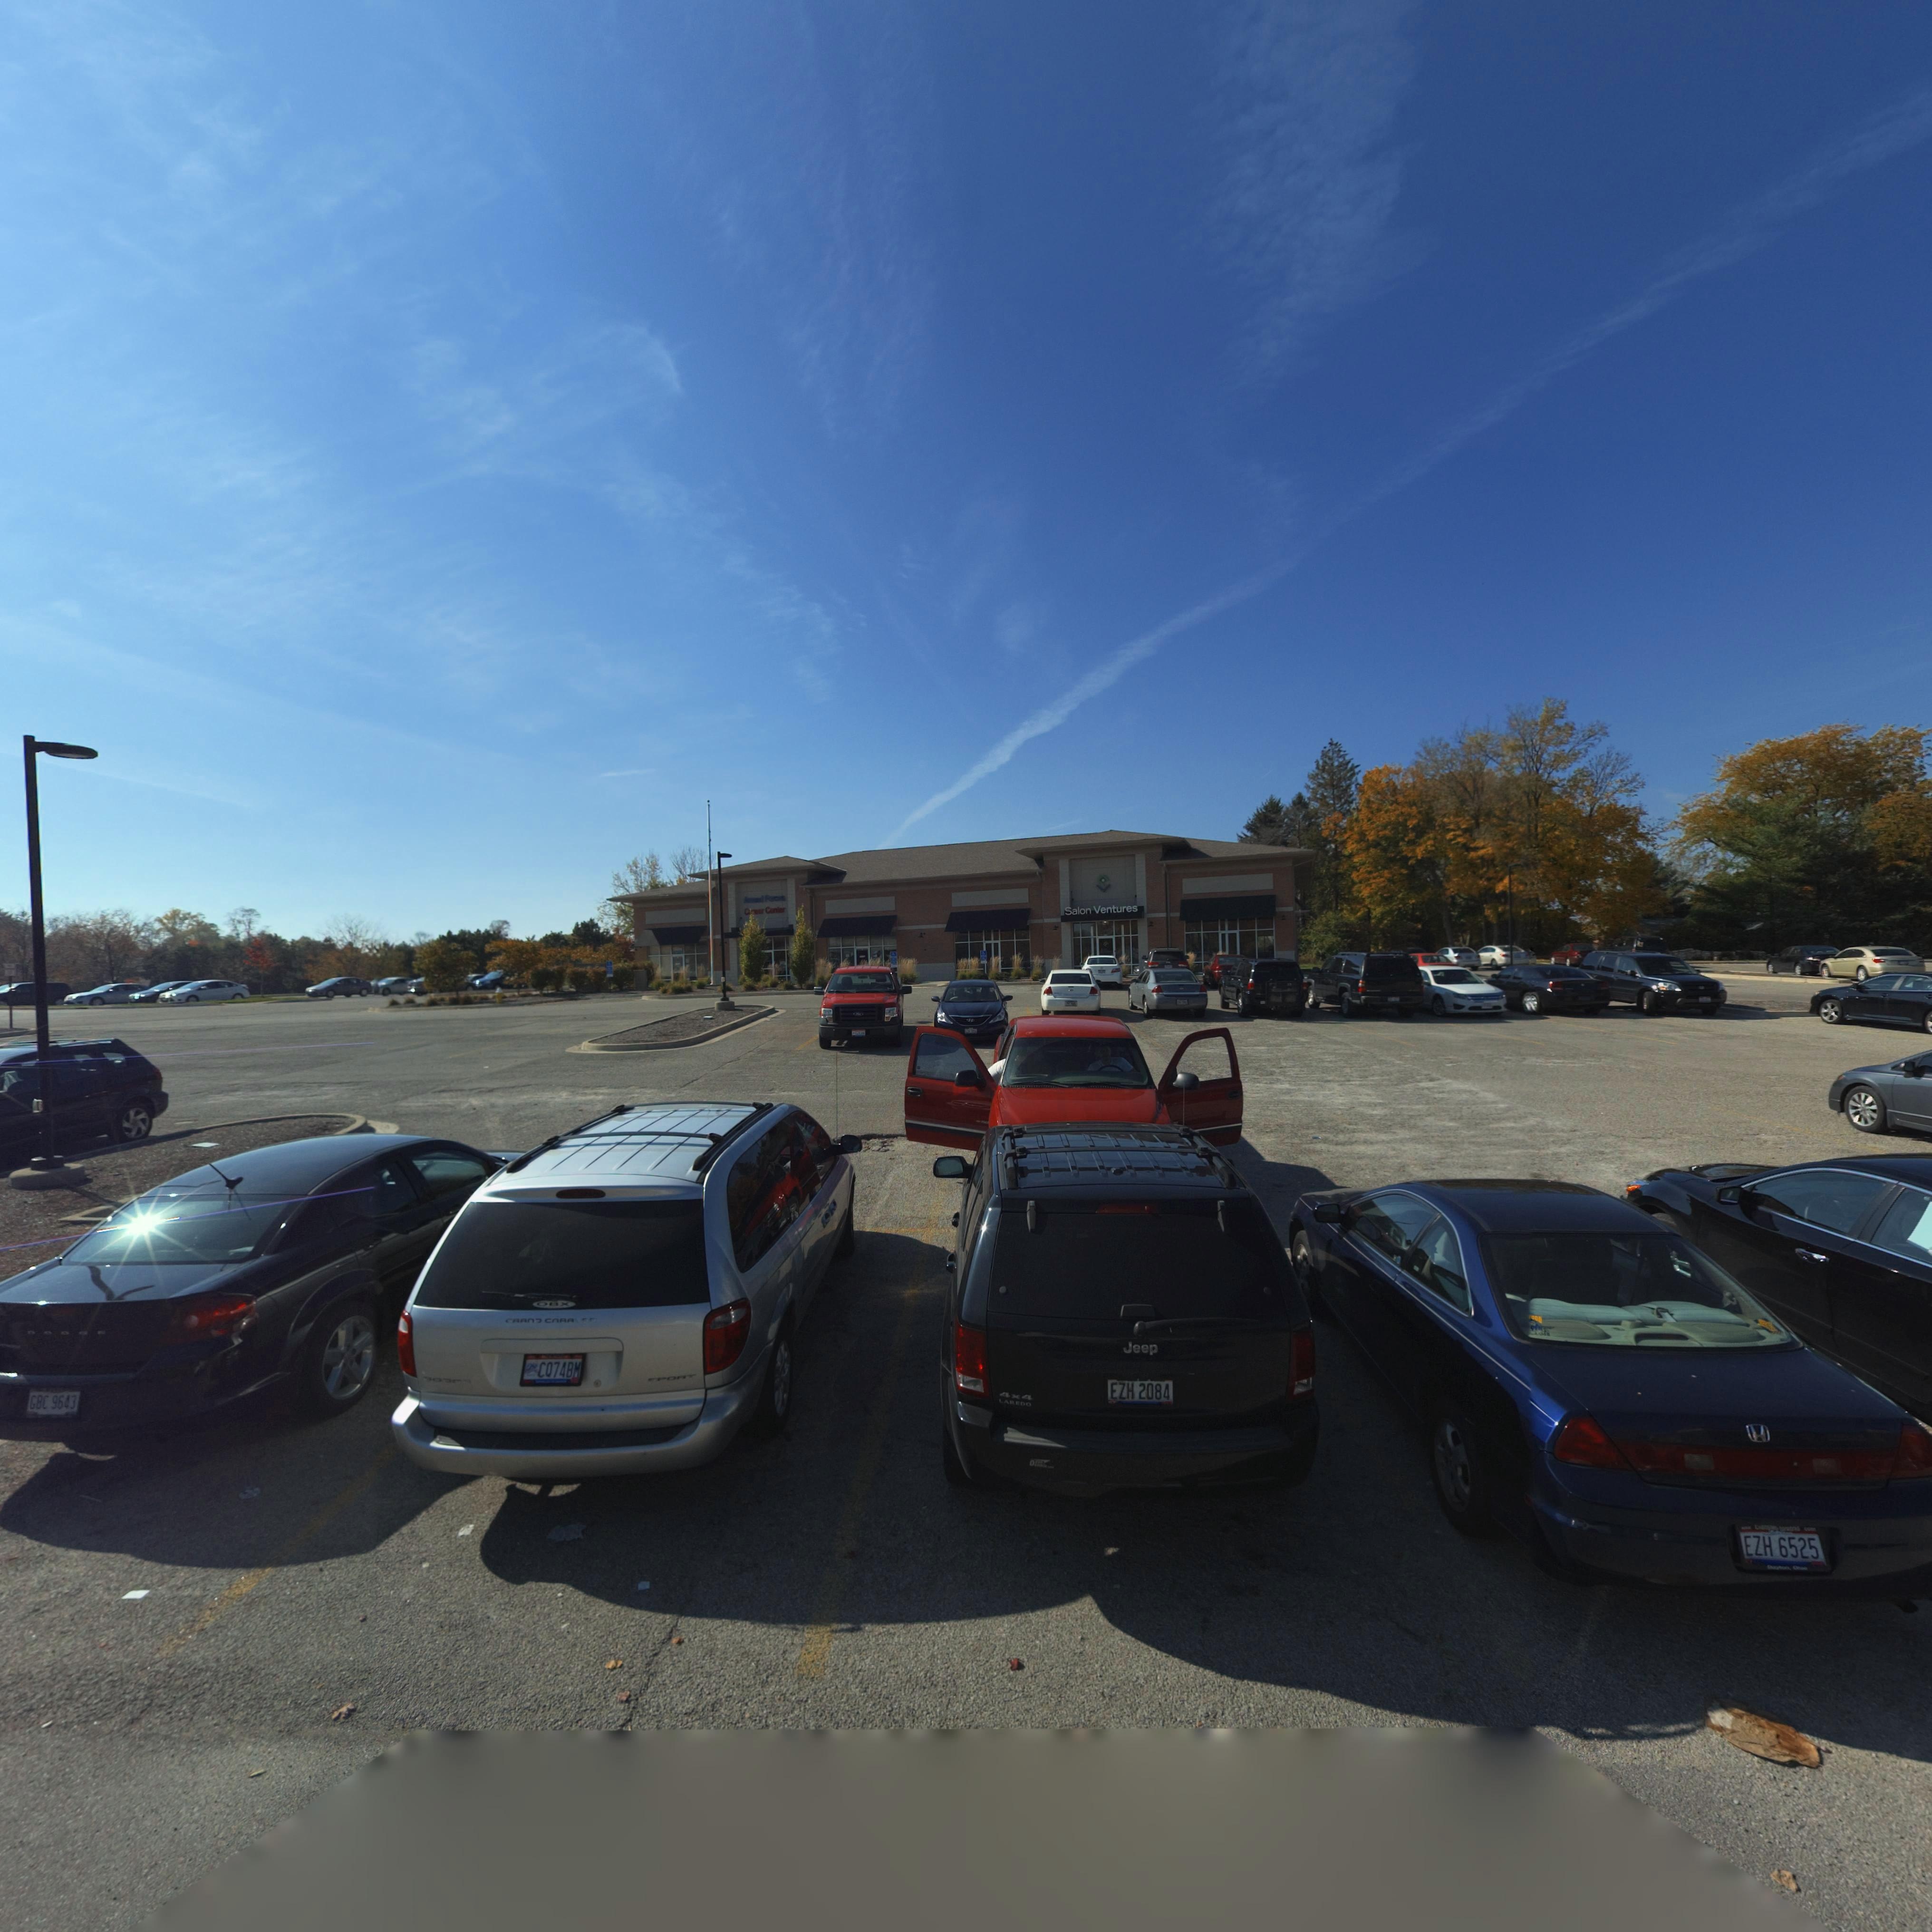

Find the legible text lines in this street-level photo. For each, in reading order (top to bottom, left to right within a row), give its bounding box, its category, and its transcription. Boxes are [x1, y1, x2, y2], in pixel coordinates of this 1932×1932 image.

[764, 905, 771, 915] BusinessName: C
[1064, 904, 1140, 917] BusinessName: Salon Ventures